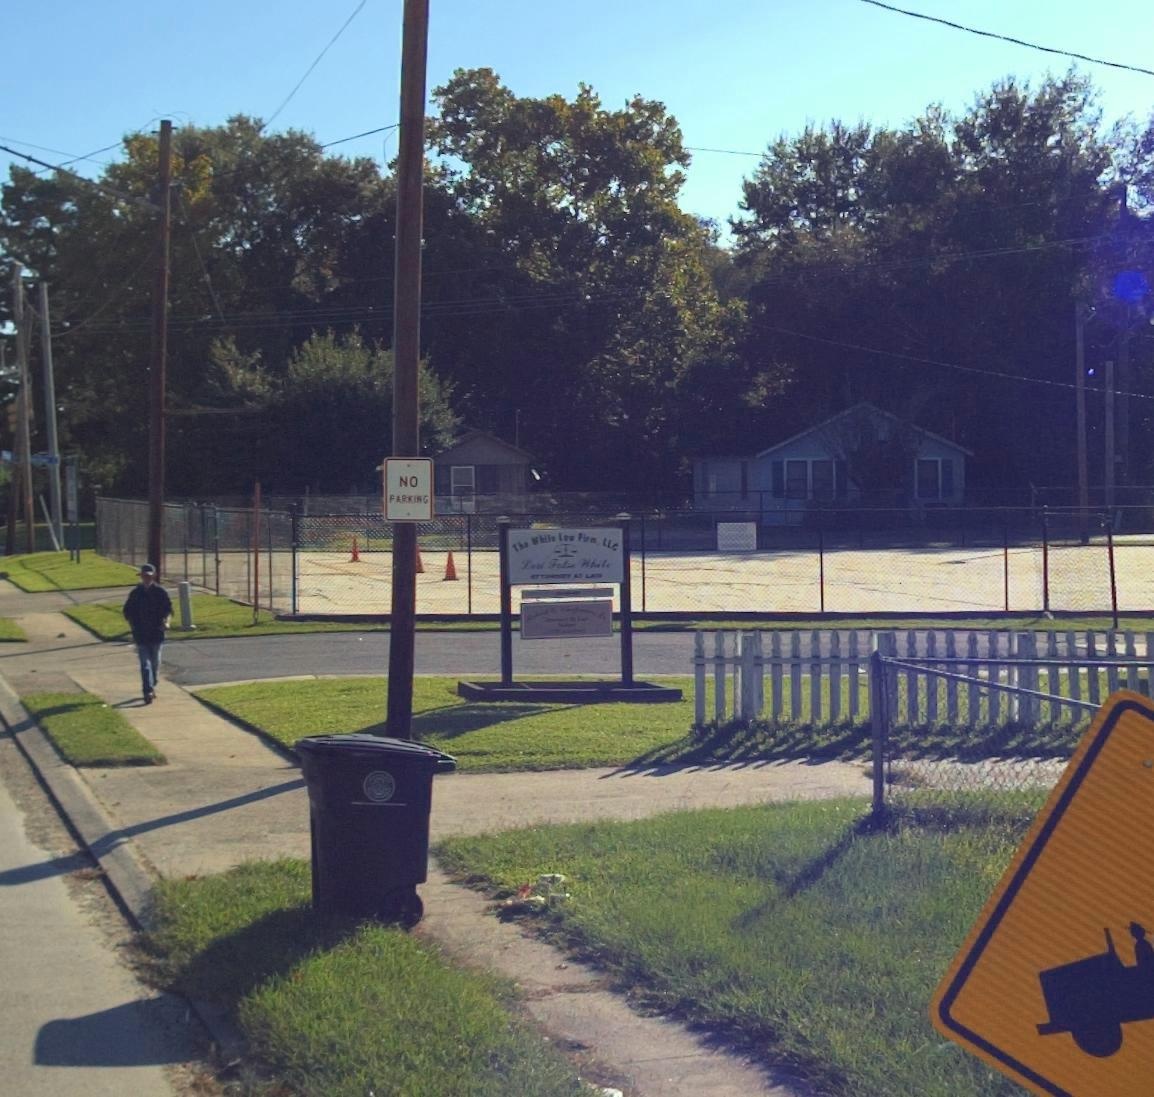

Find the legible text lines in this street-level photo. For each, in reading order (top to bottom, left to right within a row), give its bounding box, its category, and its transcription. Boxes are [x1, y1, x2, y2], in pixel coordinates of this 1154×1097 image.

[397, 473, 421, 489] None: NO
[387, 492, 431, 506] None: PARKING
[508, 529, 622, 554] BusinessName: The White Law Firm, LLC
[577, 554, 614, 571] None: White